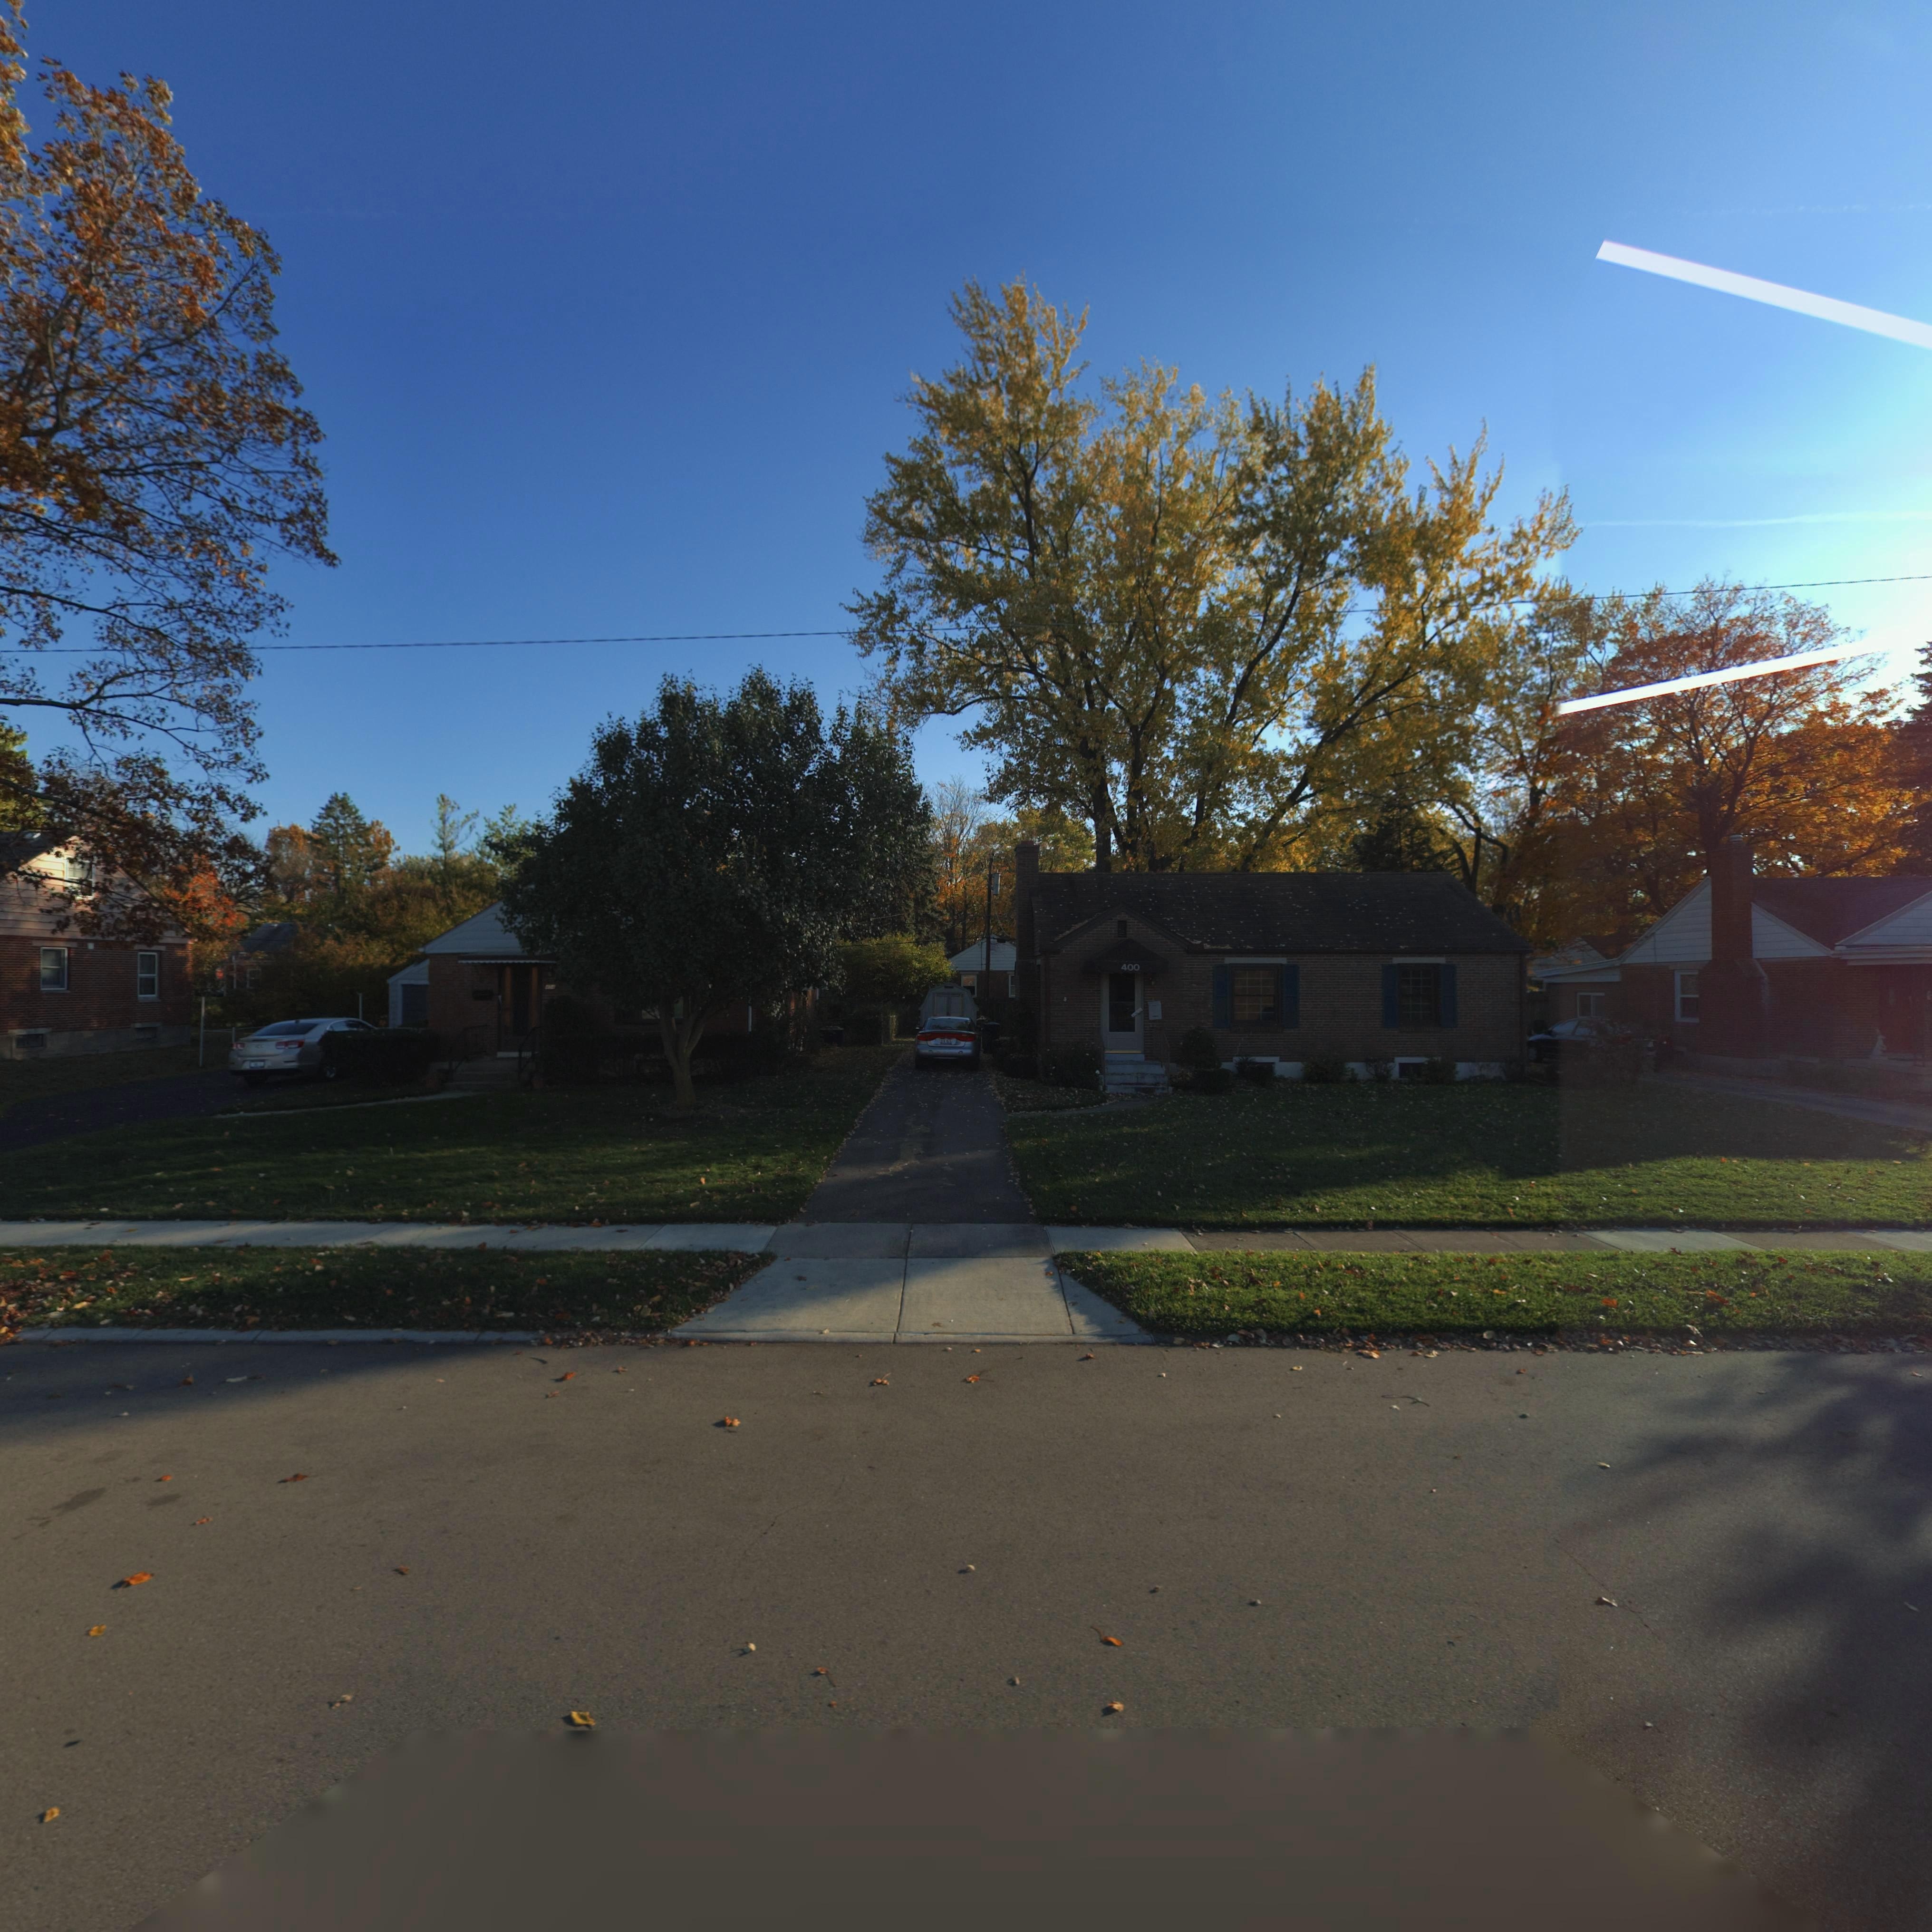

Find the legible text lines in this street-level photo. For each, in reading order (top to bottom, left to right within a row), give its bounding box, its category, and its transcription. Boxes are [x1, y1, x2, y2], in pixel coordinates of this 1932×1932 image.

[1120, 963, 1141, 972] StreetNumber: 400